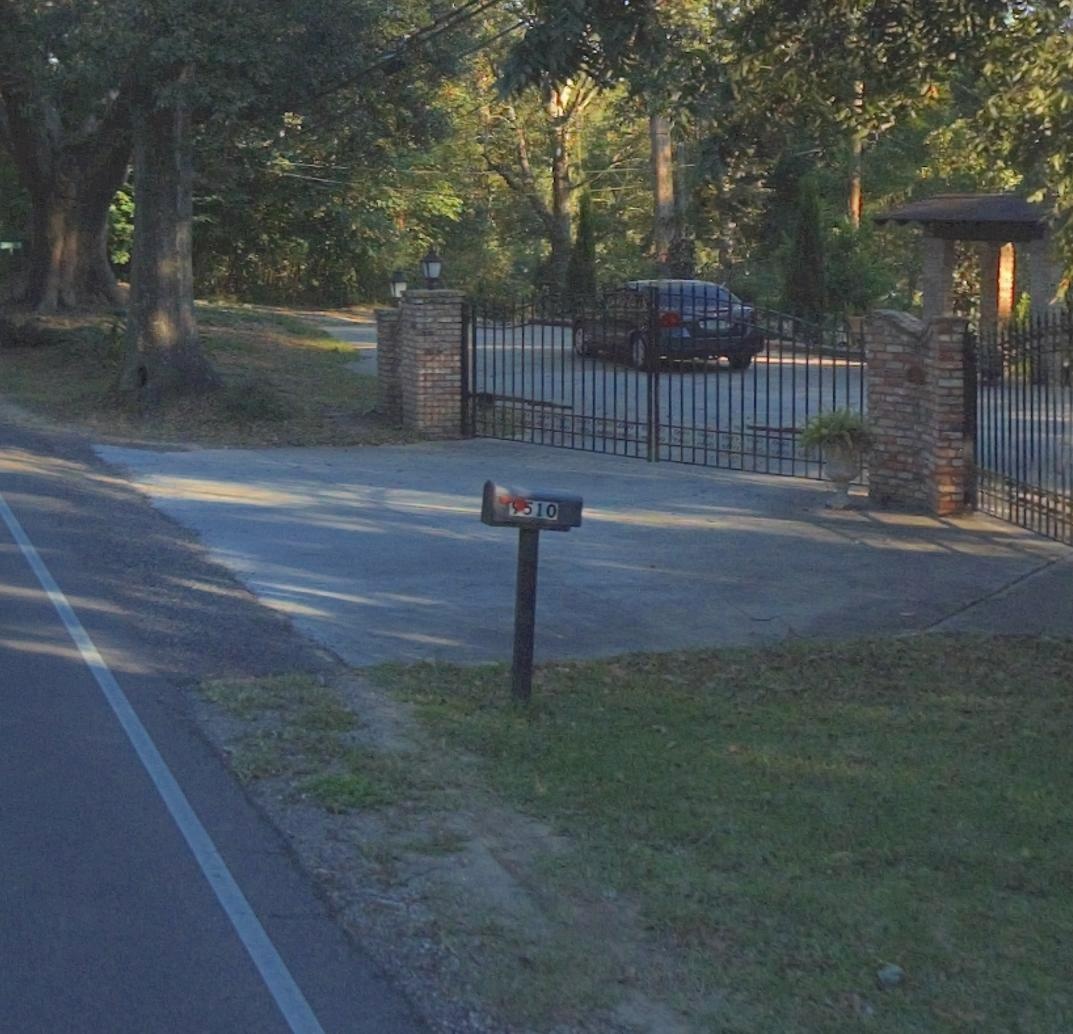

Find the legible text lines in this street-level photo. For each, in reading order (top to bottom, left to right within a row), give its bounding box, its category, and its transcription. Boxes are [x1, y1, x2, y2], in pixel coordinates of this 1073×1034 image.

[510, 500, 557, 519] StreetNumber: 9510